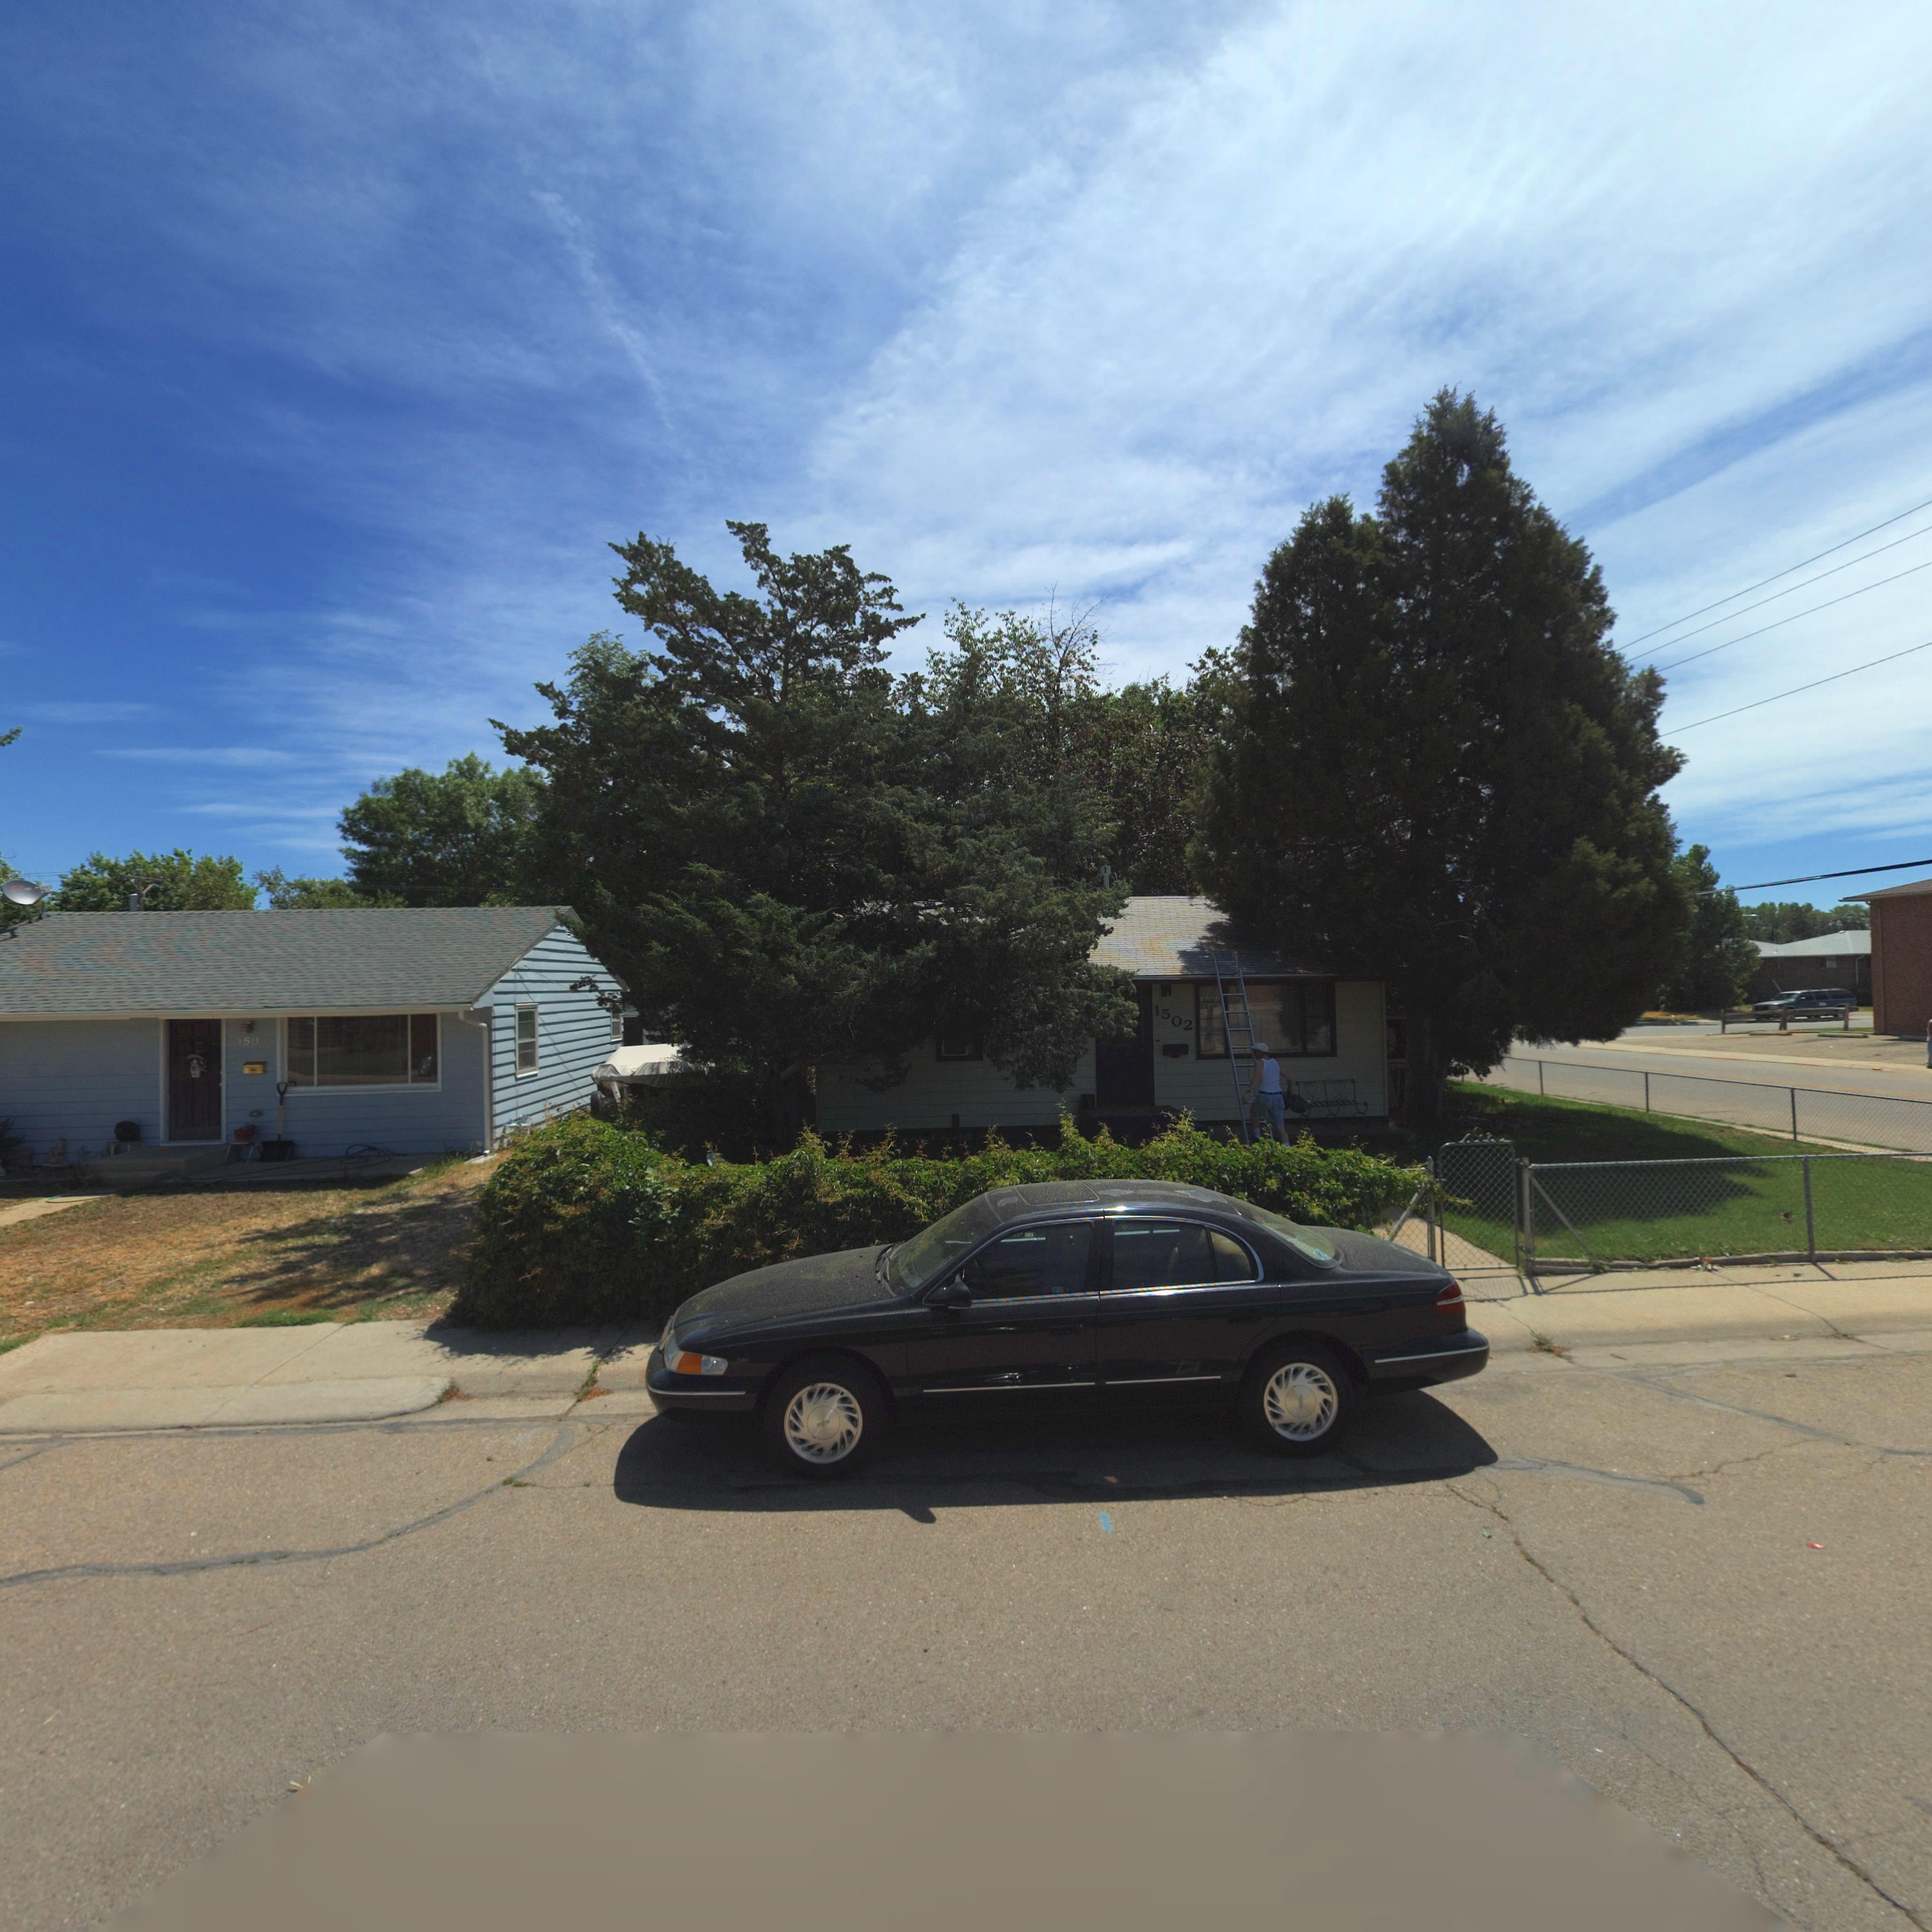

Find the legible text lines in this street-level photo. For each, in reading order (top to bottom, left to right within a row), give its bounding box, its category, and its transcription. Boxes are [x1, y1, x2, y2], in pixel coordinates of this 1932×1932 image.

[1153, 1004, 1195, 1032] StreetNumber: 1502
[237, 1035, 268, 1045] StreetNumber: 1506